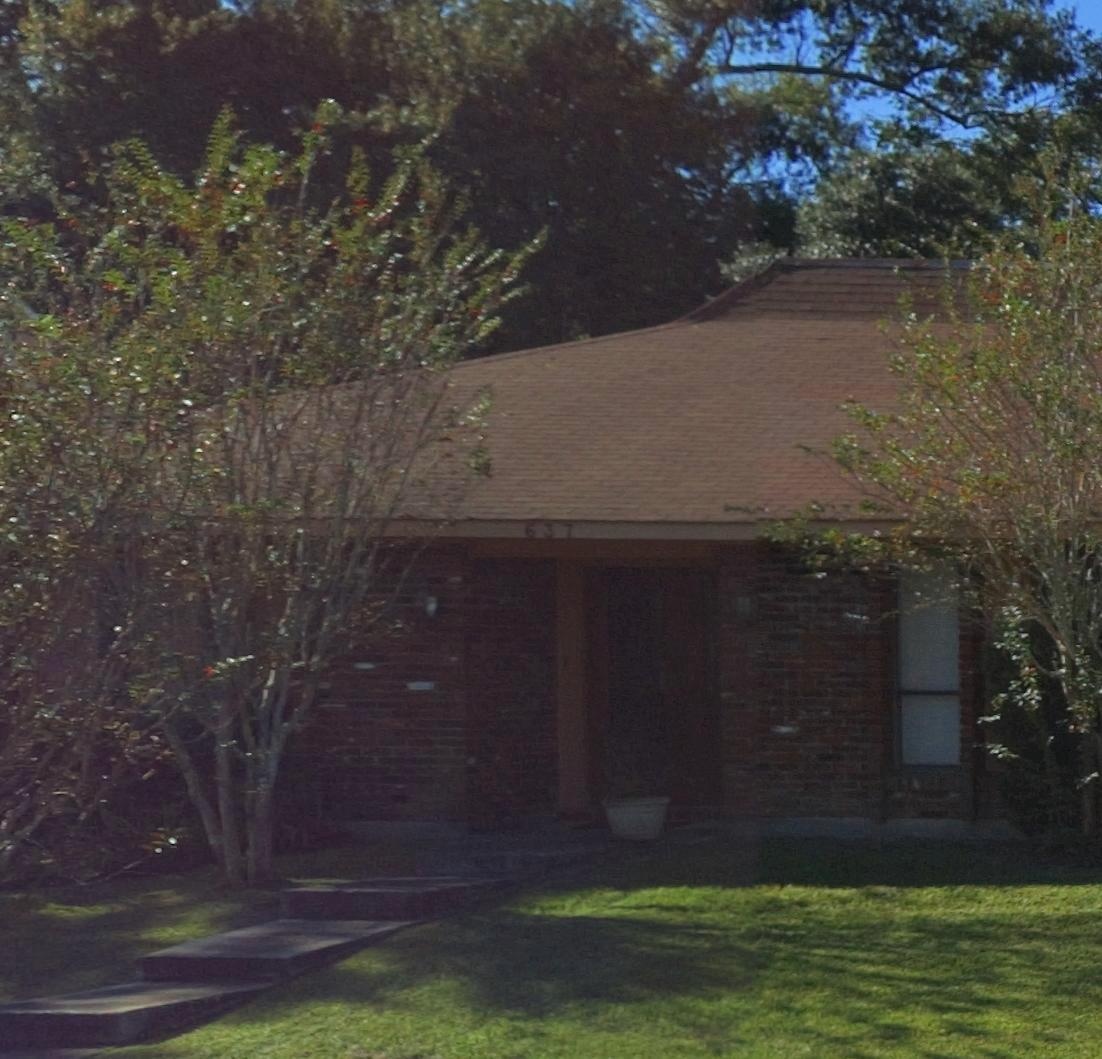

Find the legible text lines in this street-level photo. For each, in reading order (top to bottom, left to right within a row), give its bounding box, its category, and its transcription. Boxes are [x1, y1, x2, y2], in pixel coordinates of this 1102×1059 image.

[523, 520, 576, 541] StreetNumber: 637